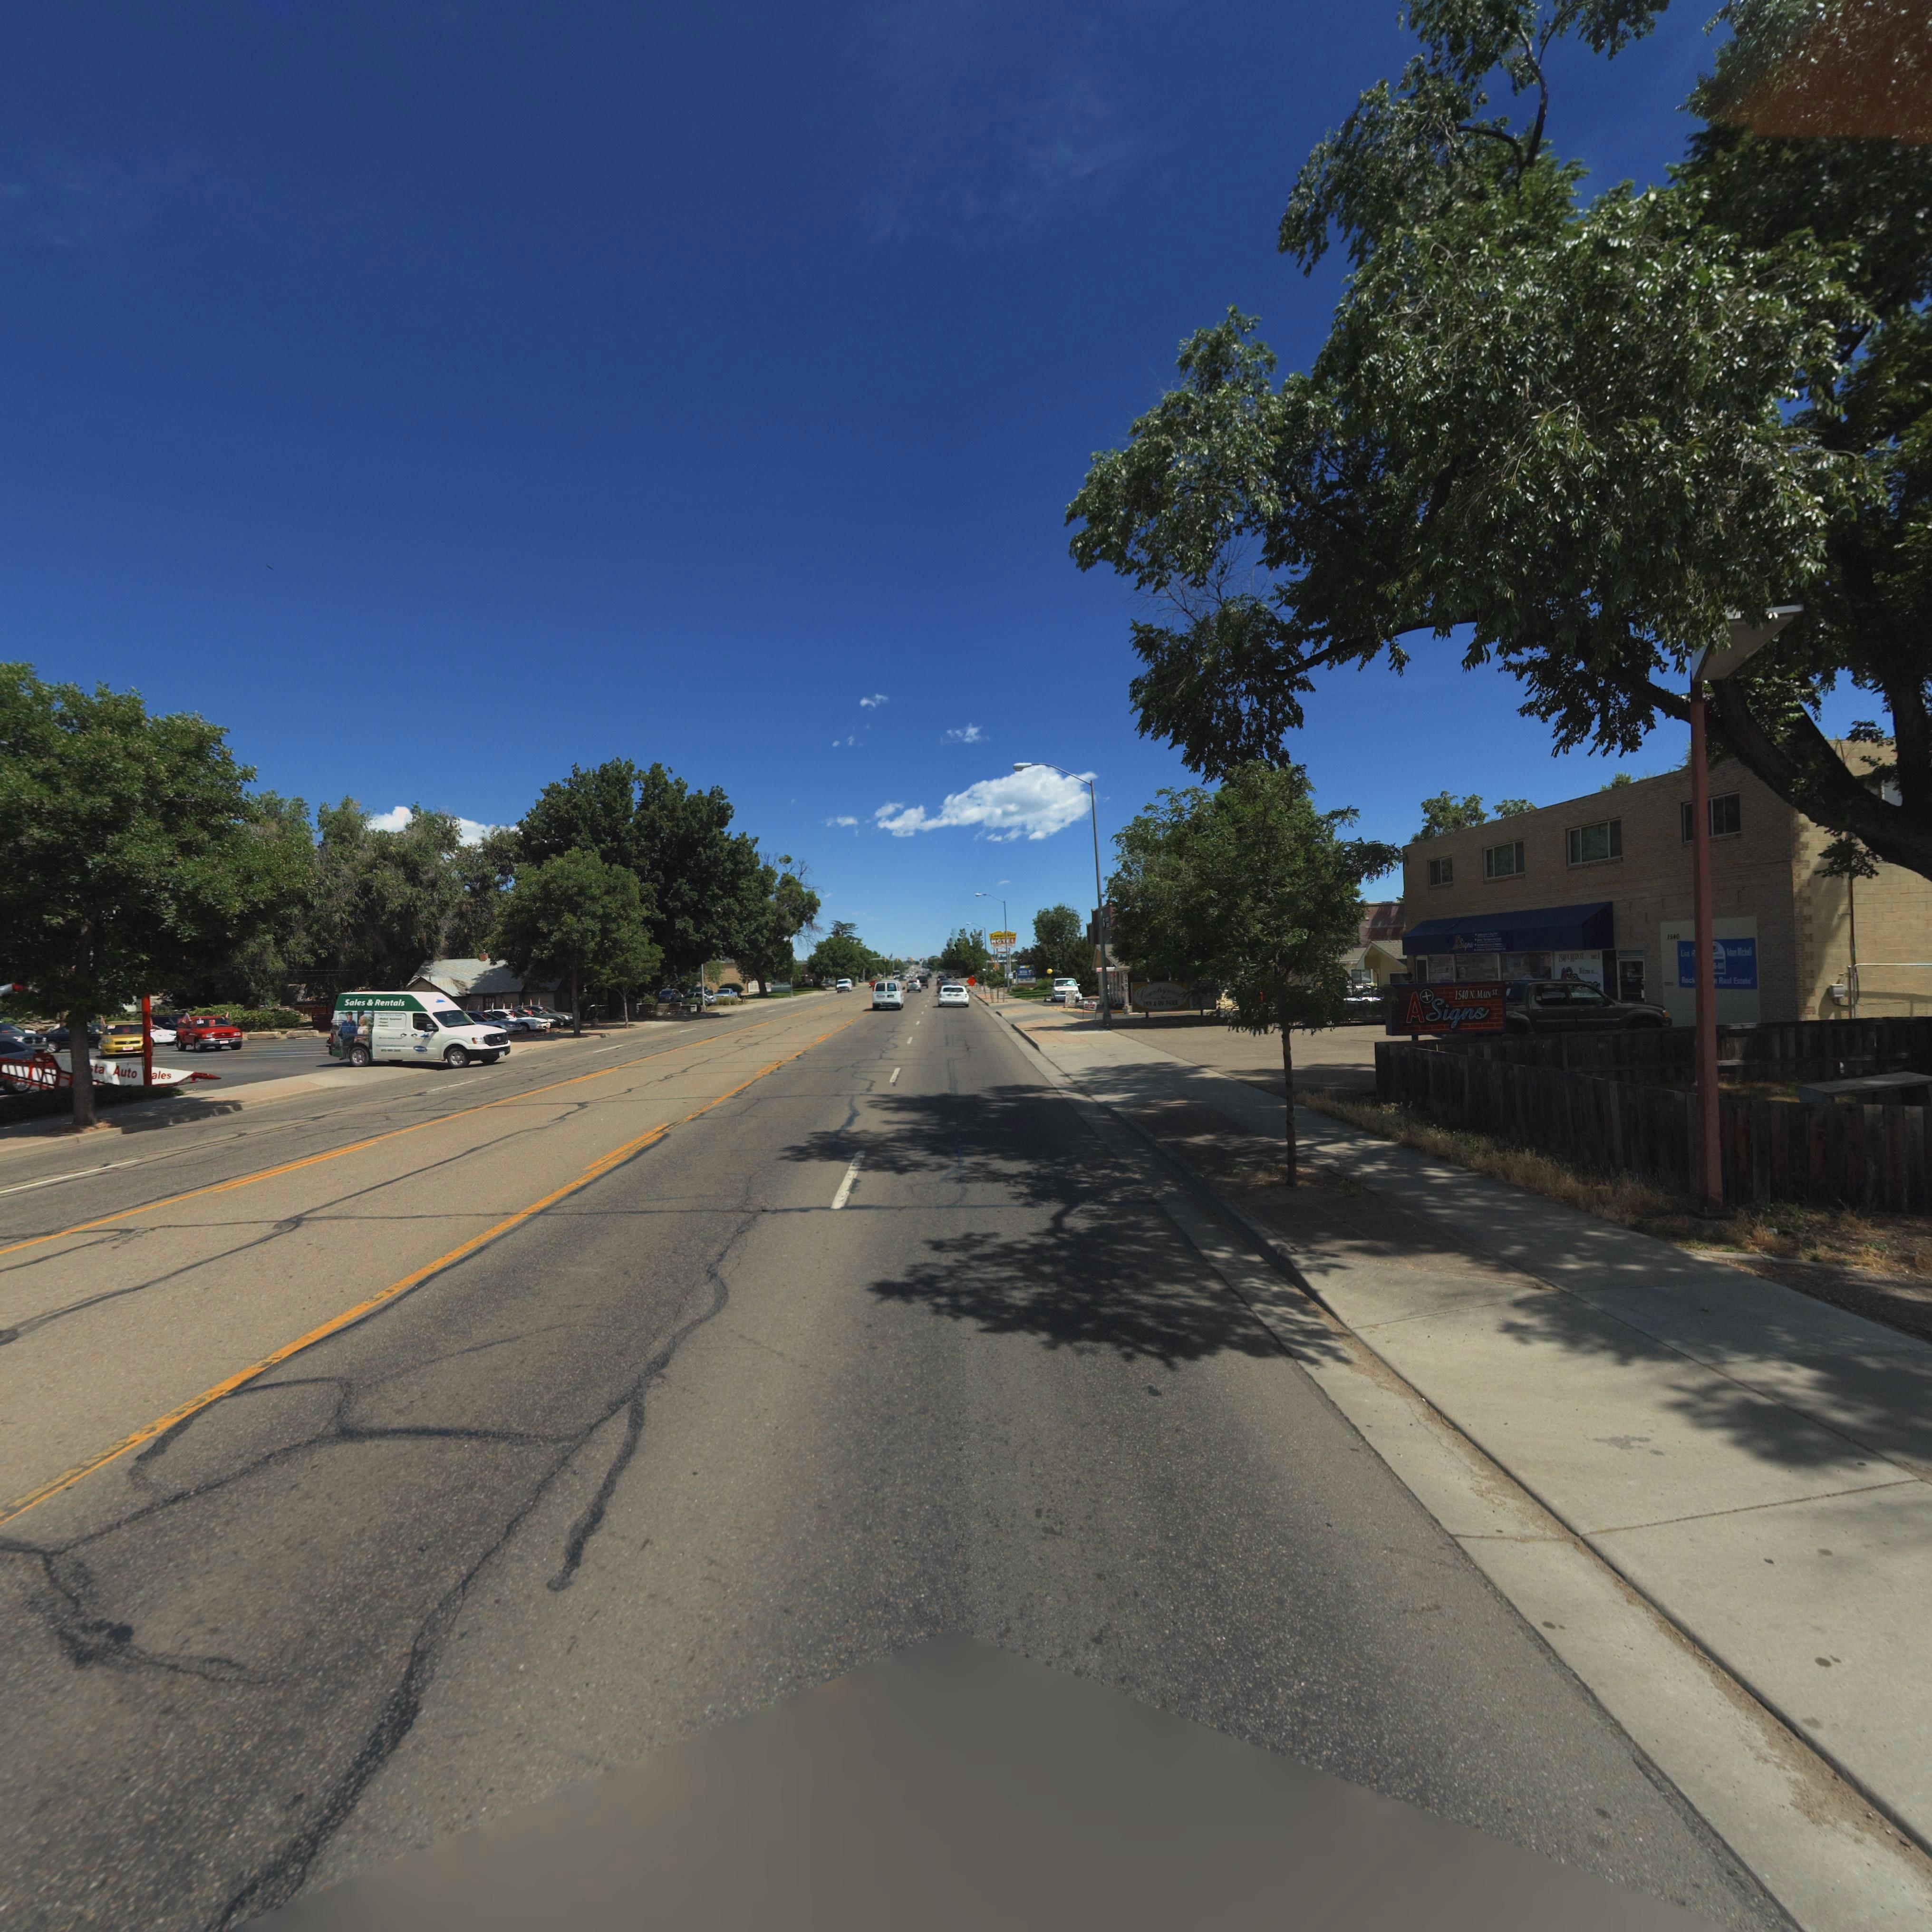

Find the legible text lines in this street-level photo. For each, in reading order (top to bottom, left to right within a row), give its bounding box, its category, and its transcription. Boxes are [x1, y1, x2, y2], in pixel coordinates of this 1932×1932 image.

[991, 938, 1015, 944] BusinessName: MOTEL
[990, 931, 1017, 938] BusinessName: Lamp***hter
[1459, 938, 1473, 951] BusinessName: Signs
[1666, 934, 1680, 940] StreetNumber: 1540
[1558, 953, 1566, 962] StreetNumber: 1540
[1569, 952, 1584, 962] StreetName: M**N **
[1137, 985, 1185, 1002] BusinessName: C********d
[1455, 989, 1468, 1000] StreetNumber: 1540
[1469, 989, 1498, 999] StreetName: N. MAIN ST
[1143, 999, 1178, 1007] BusinessName: INN & RV PARK
[1404, 988, 1491, 1030] BusinessName: A*Signs
[93, 1063, 172, 1079] BusinessName: ta Auto *ales